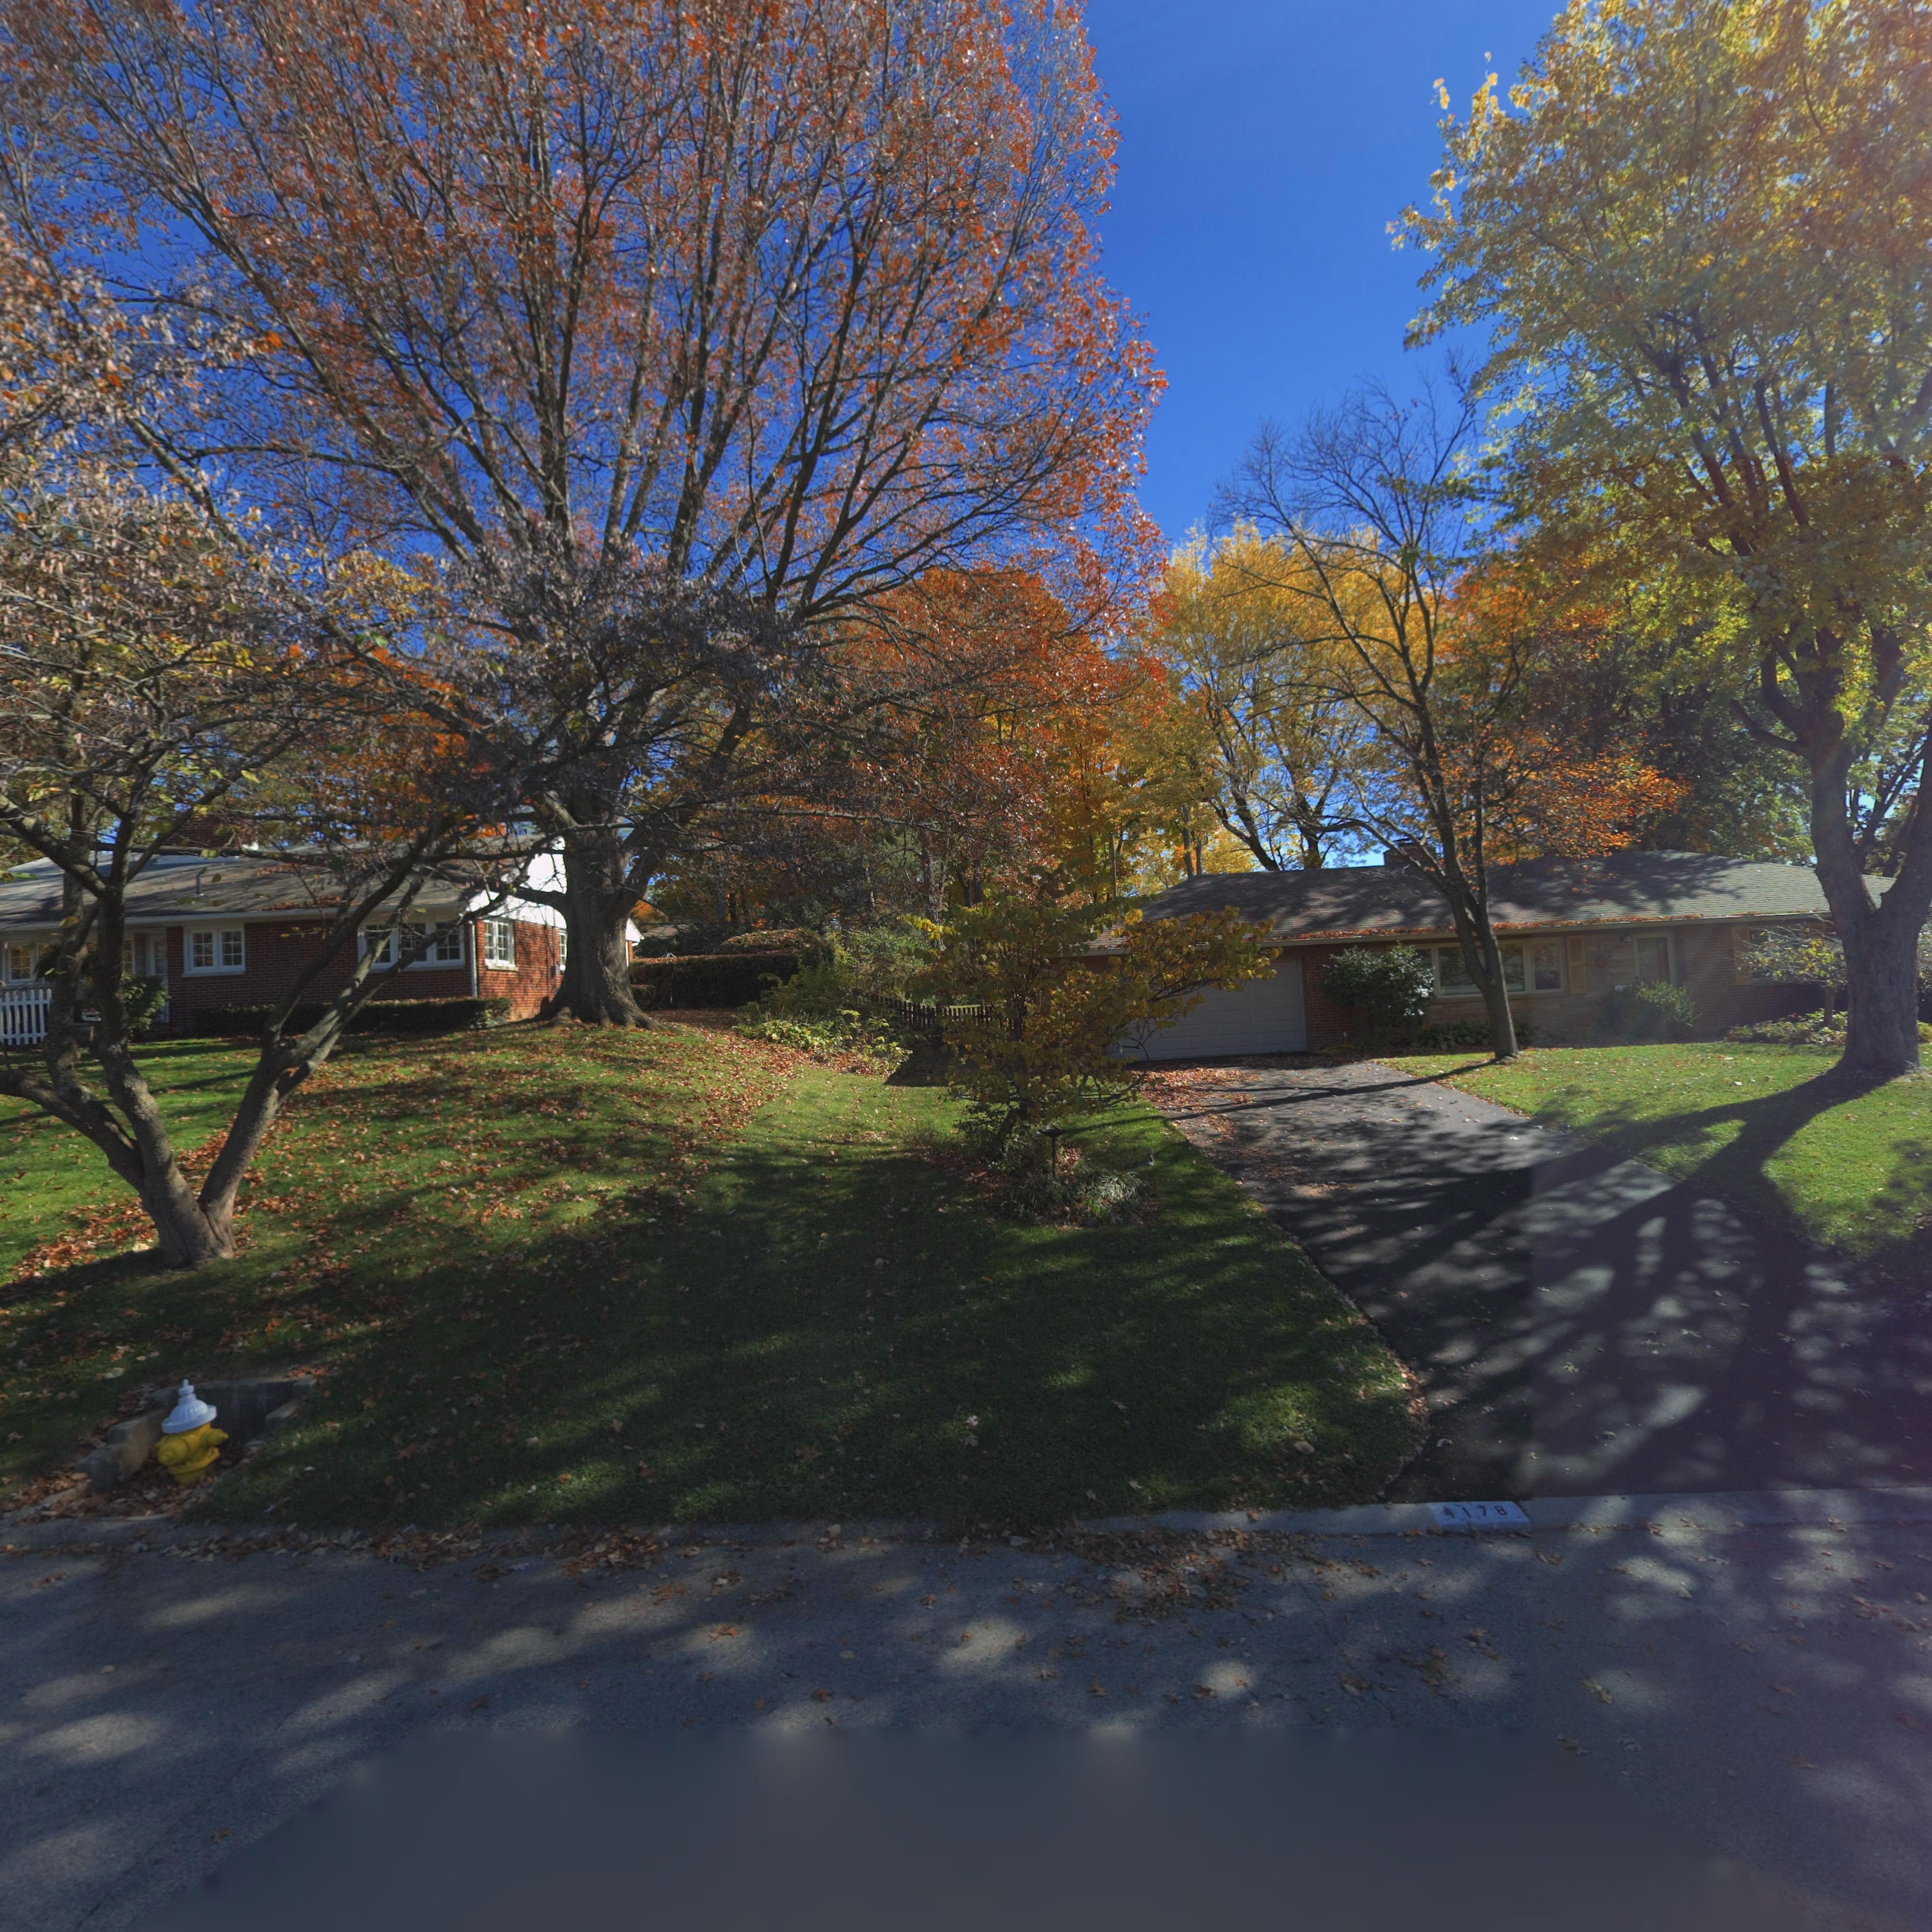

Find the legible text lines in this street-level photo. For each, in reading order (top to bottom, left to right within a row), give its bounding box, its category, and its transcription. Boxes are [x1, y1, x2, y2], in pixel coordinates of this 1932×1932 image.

[1443, 1504, 1509, 1519] StreetNumber: 4178